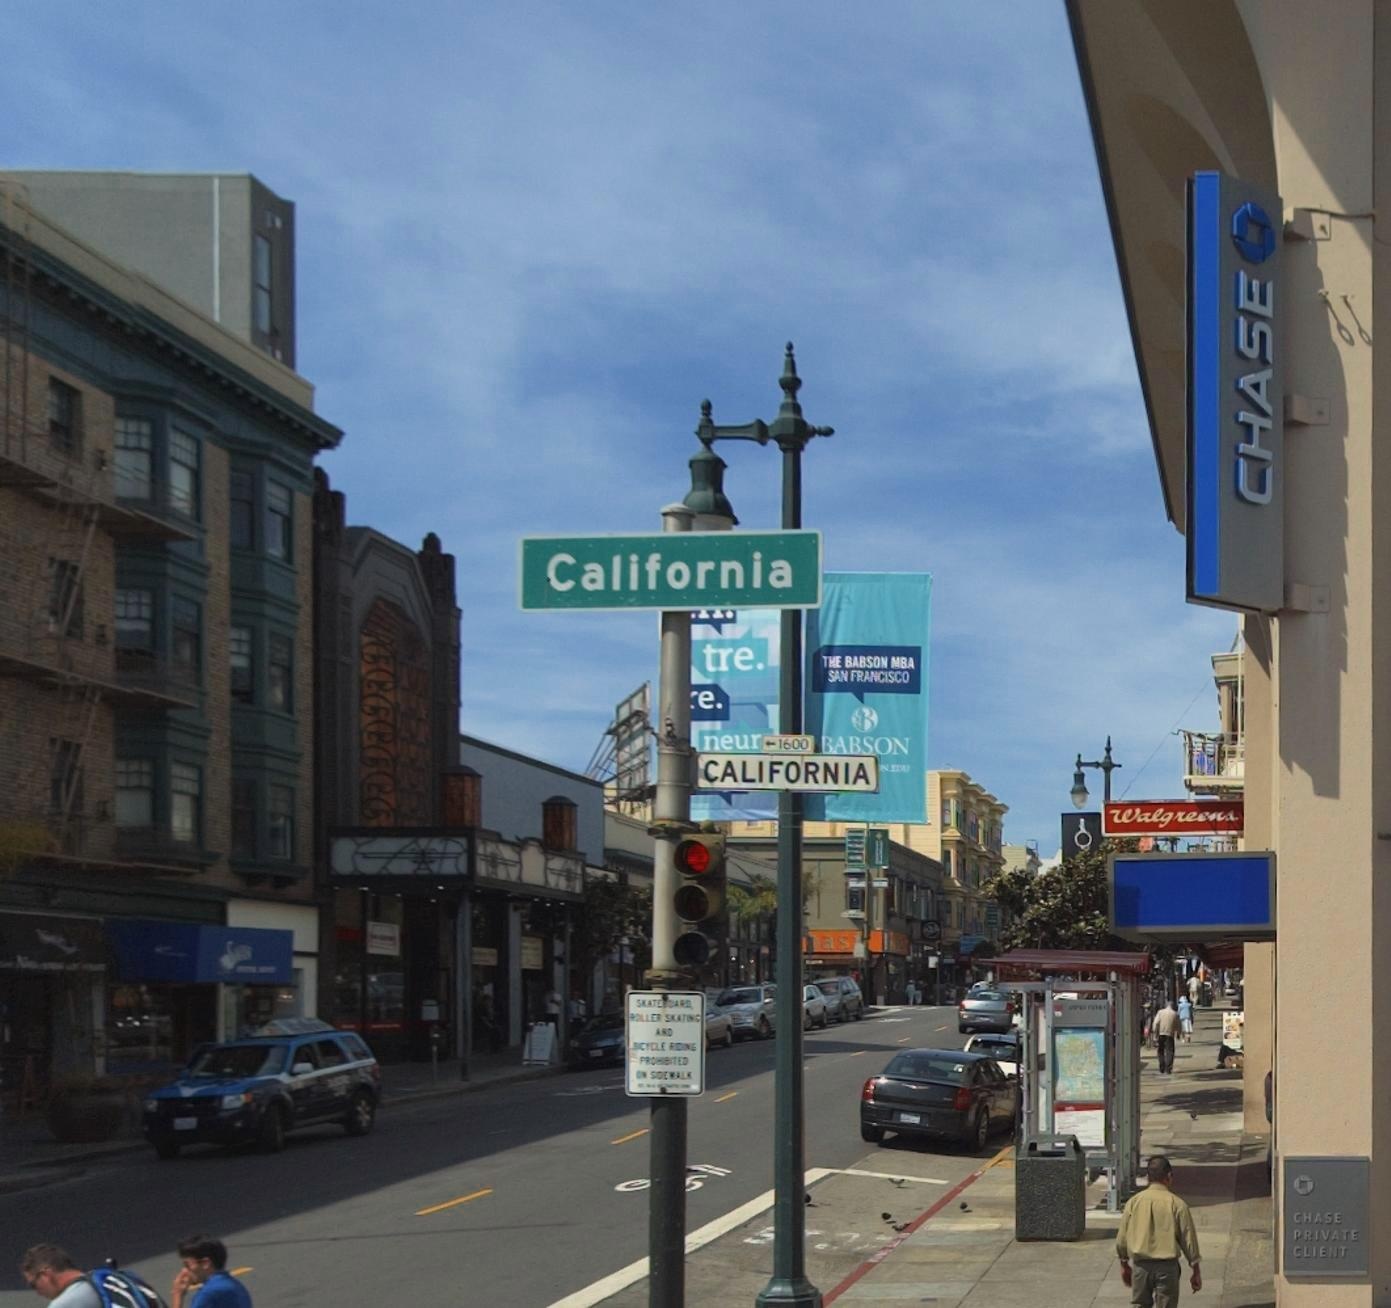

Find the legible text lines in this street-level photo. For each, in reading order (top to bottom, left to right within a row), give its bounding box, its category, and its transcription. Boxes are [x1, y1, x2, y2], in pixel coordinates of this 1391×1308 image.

[1236, 267, 1276, 509] BusinessName: CHASE
[545, 549, 796, 595] StreetName: California
[698, 640, 768, 676] None: tre.
[820, 653, 918, 671] None: THE BABSON MBA
[824, 668, 913, 686] None: SAN FRANCISCO
[695, 686, 726, 713] None: e.
[700, 731, 766, 754] None: neur
[761, 736, 812, 753] StreetNumberRange: <-1600
[819, 733, 912, 757] None: BABSON
[700, 756, 875, 787] StreetName: CALIFORNIA
[1110, 805, 1241, 831] BusinessName: Walgreens.
[818, 933, 852, 953] BusinessName: as
[634, 997, 664, 1011] None: SKATE
[663, 1010, 703, 1026] None: SKATING
[651, 1025, 675, 1040] None: AND
[669, 1054, 691, 1068] None: TED
[666, 1068, 695, 1083] None: WALK
[1291, 1208, 1345, 1227] BusinessName: CHASE
[1292, 1227, 1361, 1244] None: PRIVATE
[1291, 1242, 1350, 1261] None: CLIENT